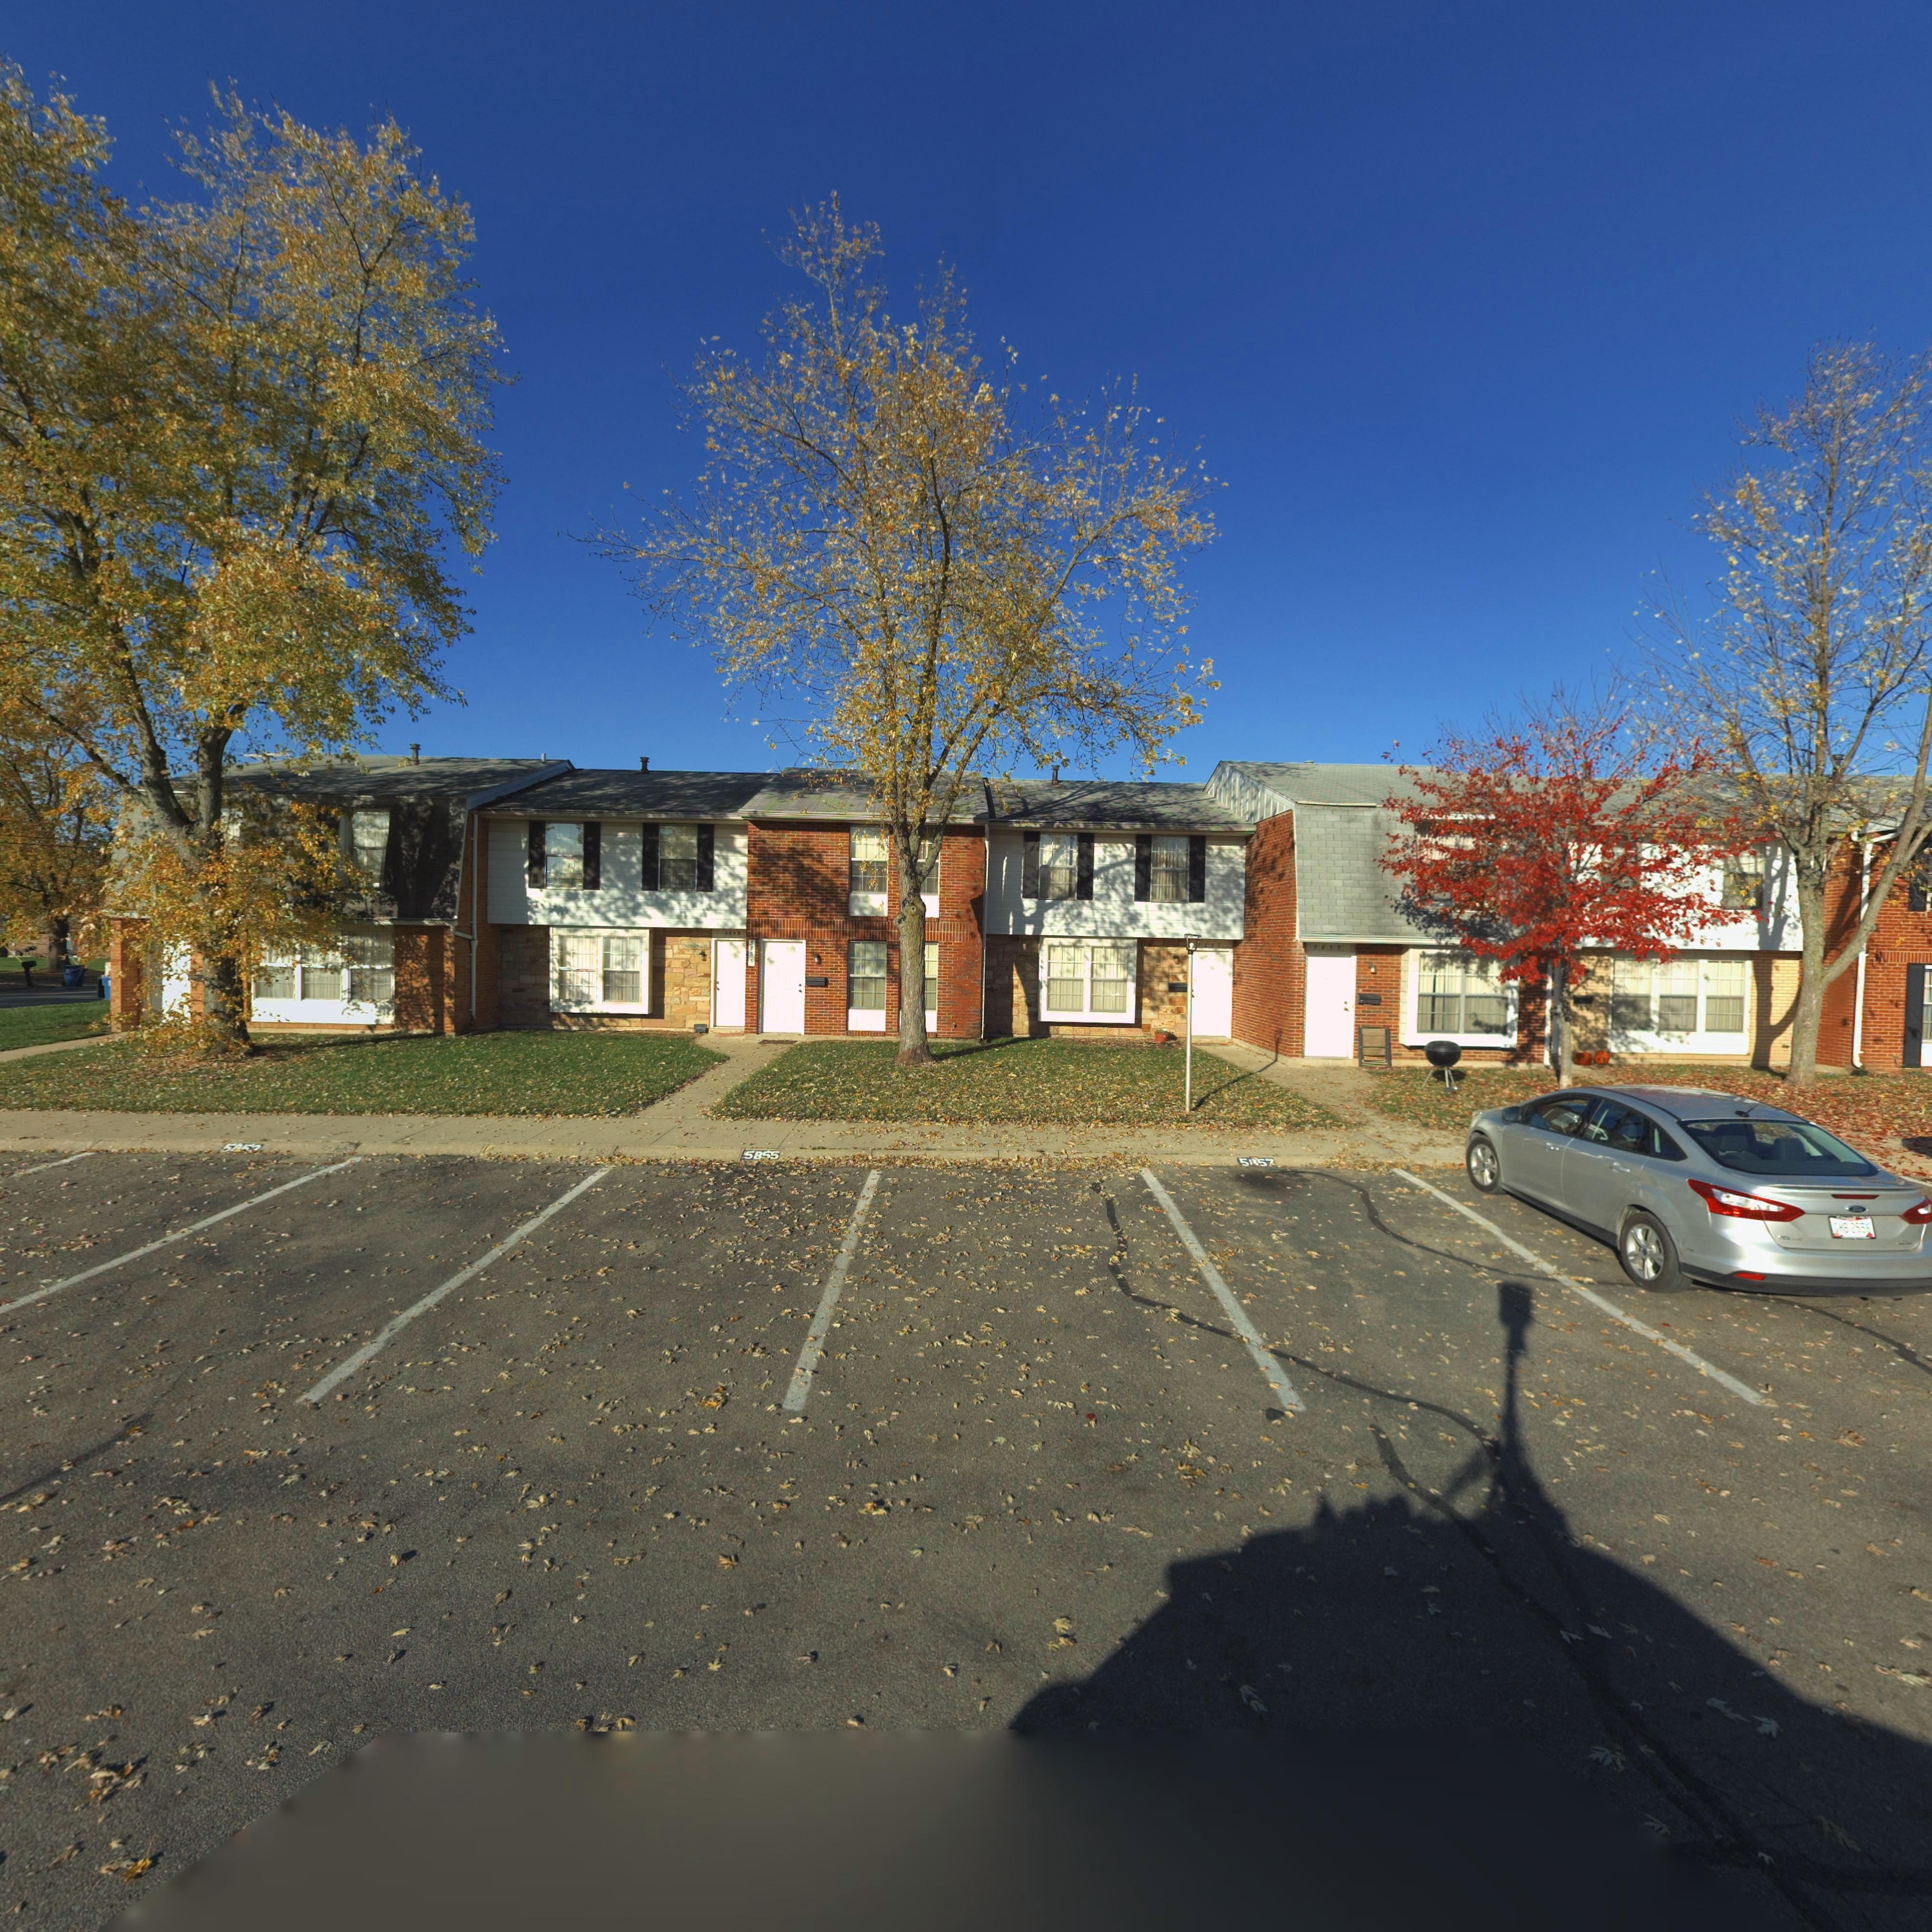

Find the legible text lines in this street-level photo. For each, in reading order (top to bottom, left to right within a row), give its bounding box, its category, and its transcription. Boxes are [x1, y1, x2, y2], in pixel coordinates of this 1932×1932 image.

[724, 930, 743, 937] StreetNumber: *8**
[748, 939, 754, 965] StreetNumber: 5*5*
[1197, 942, 1222, 948] StreetNumber: 58*7
[1312, 943, 1343, 952] StreetNumber: 5859
[220, 1142, 263, 1155] StreetNumber: 5***
[743, 1150, 782, 1160] StreetNumber: 58*5
[1237, 1158, 1275, 1168] StreetNumber: 5*57